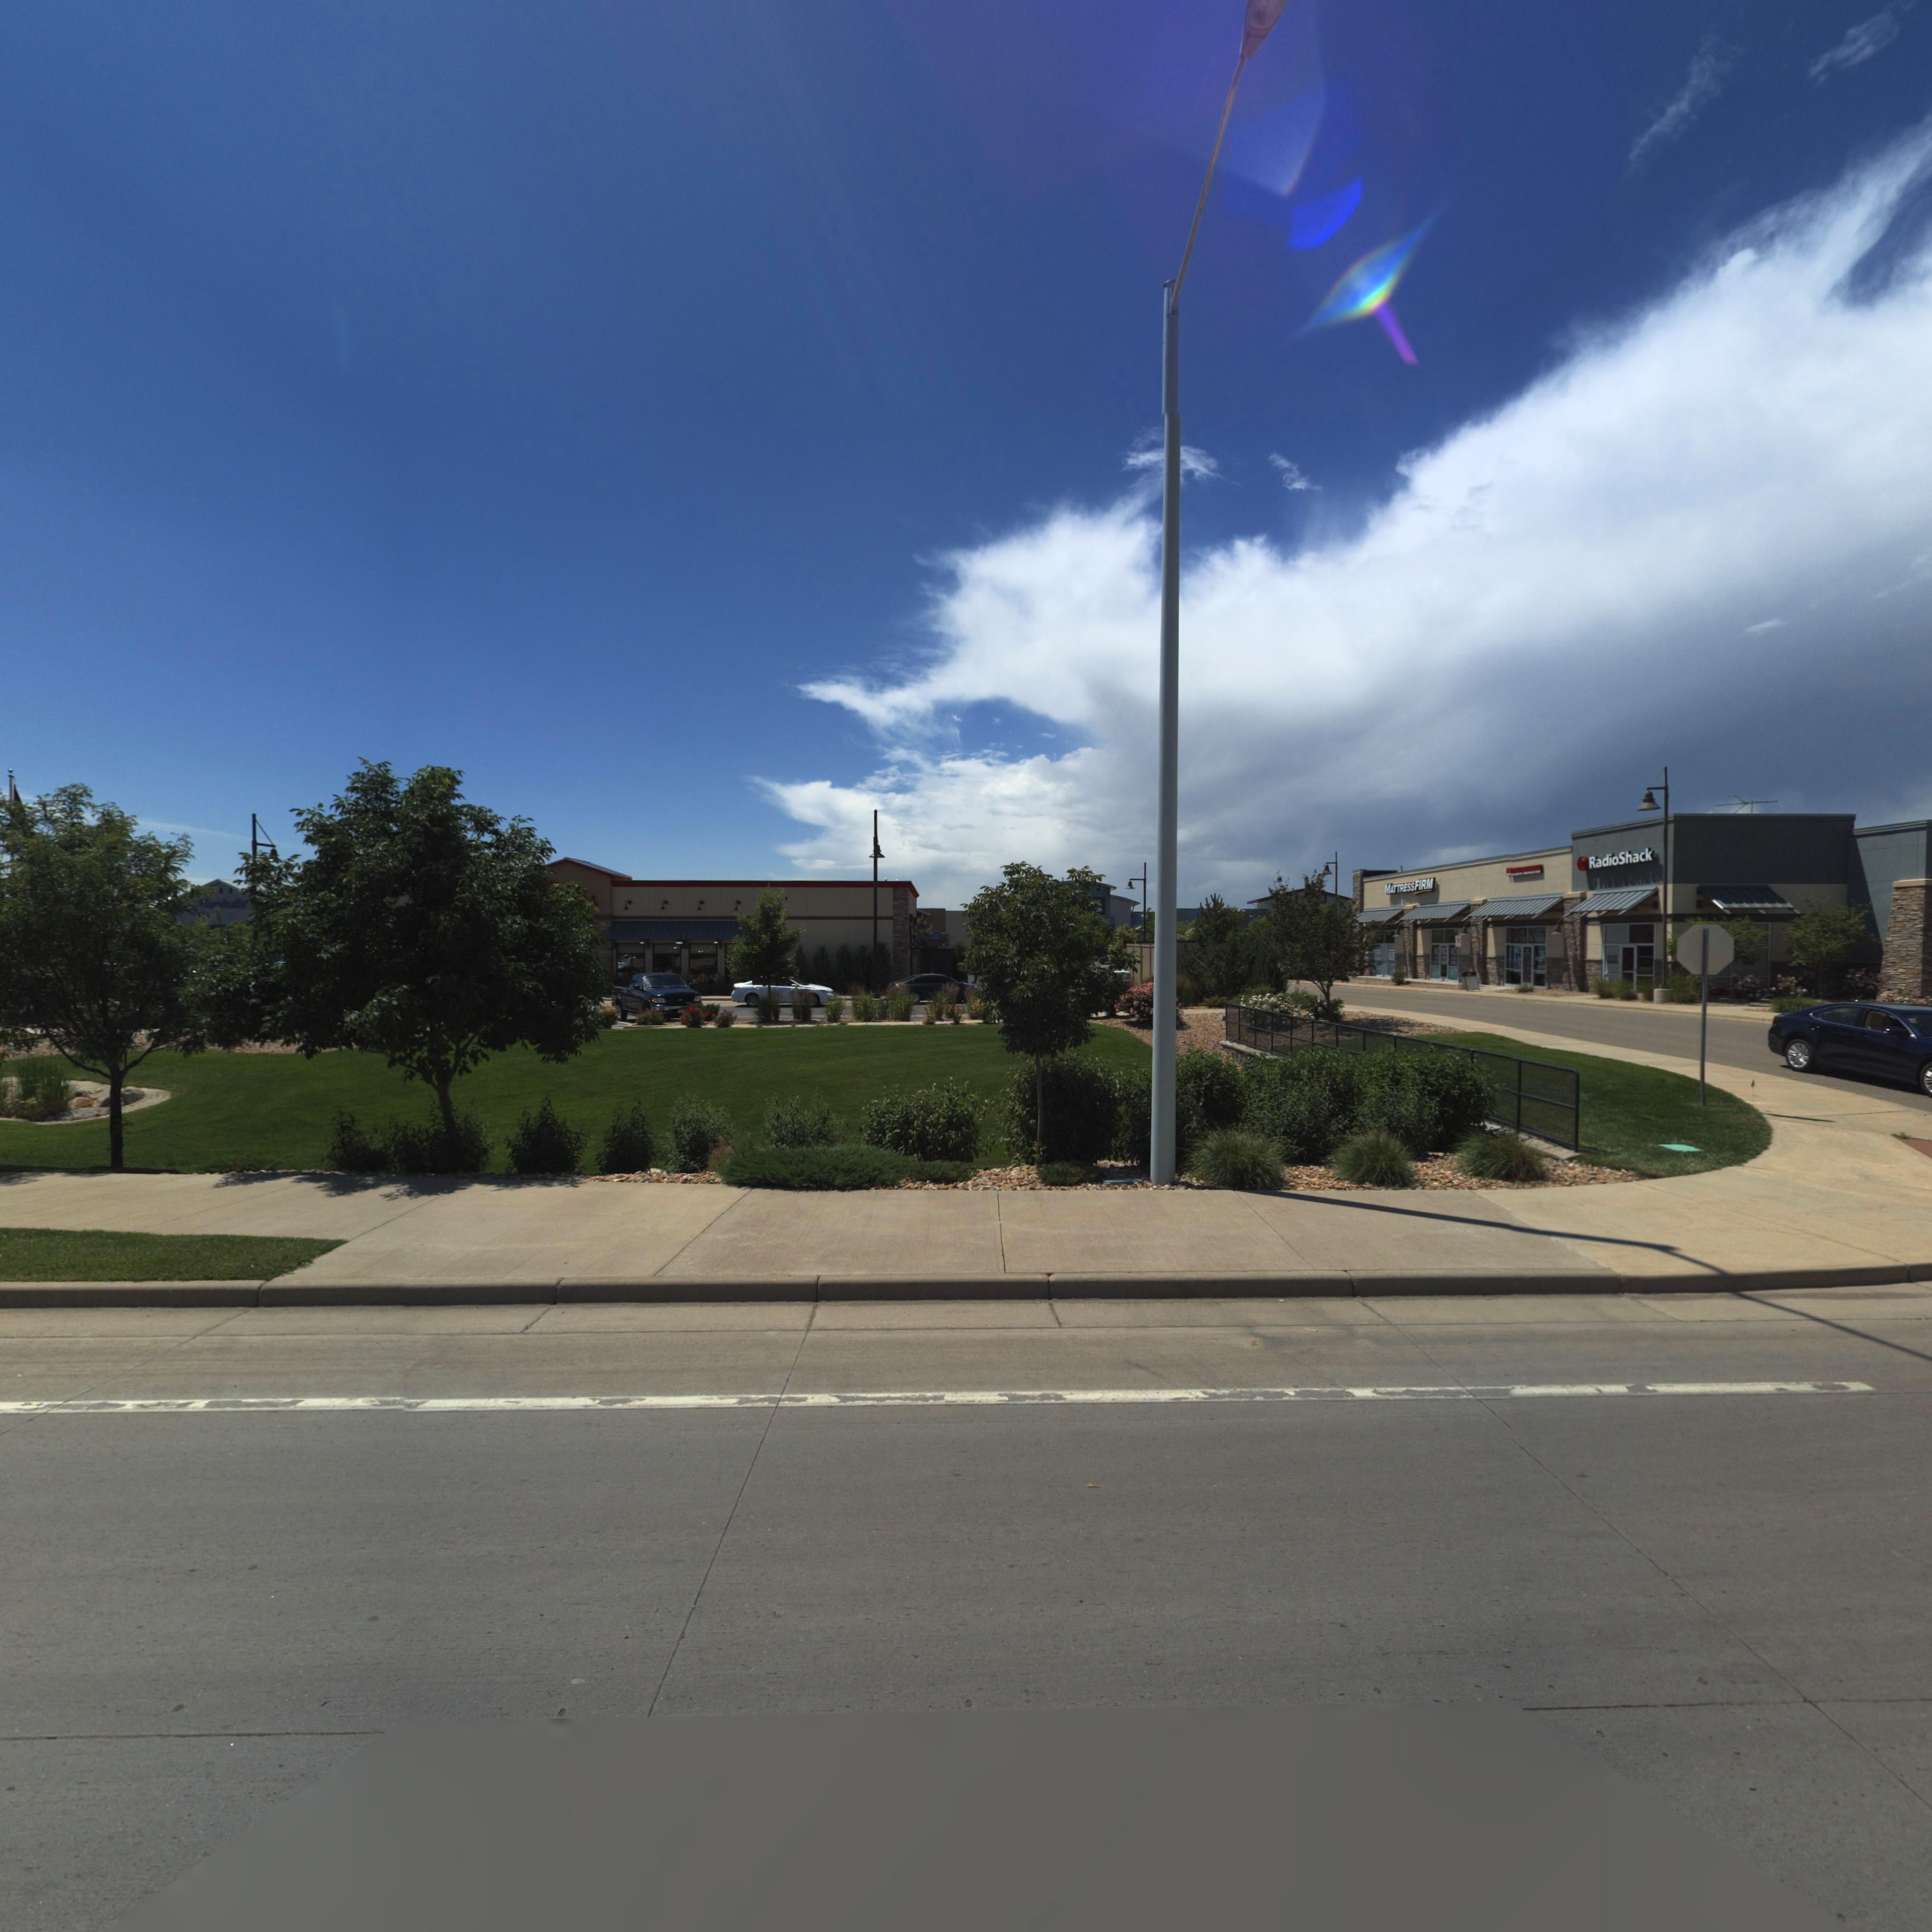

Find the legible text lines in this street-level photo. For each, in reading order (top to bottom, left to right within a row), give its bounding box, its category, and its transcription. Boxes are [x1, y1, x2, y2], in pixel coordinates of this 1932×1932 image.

[1589, 847, 1653, 869] BusinessName: RadioShack
[1384, 877, 1434, 894] BusinessName: MATTRESSFIRM